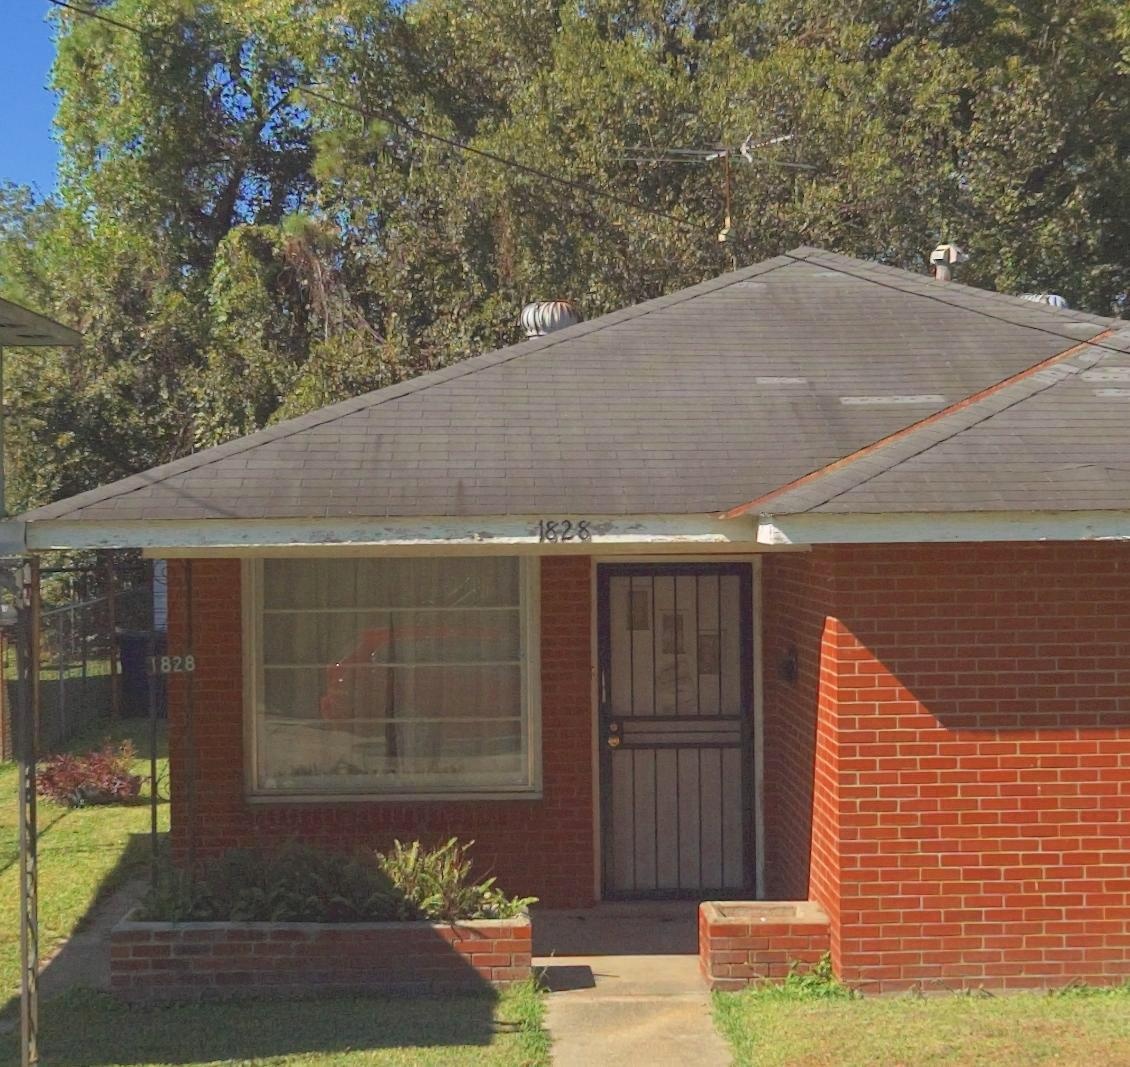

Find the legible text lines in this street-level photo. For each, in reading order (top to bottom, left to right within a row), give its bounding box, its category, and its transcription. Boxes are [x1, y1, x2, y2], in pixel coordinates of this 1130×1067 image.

[536, 517, 594, 544] StreetNumber: 1828
[149, 652, 198, 676] StreetNumber: 1828